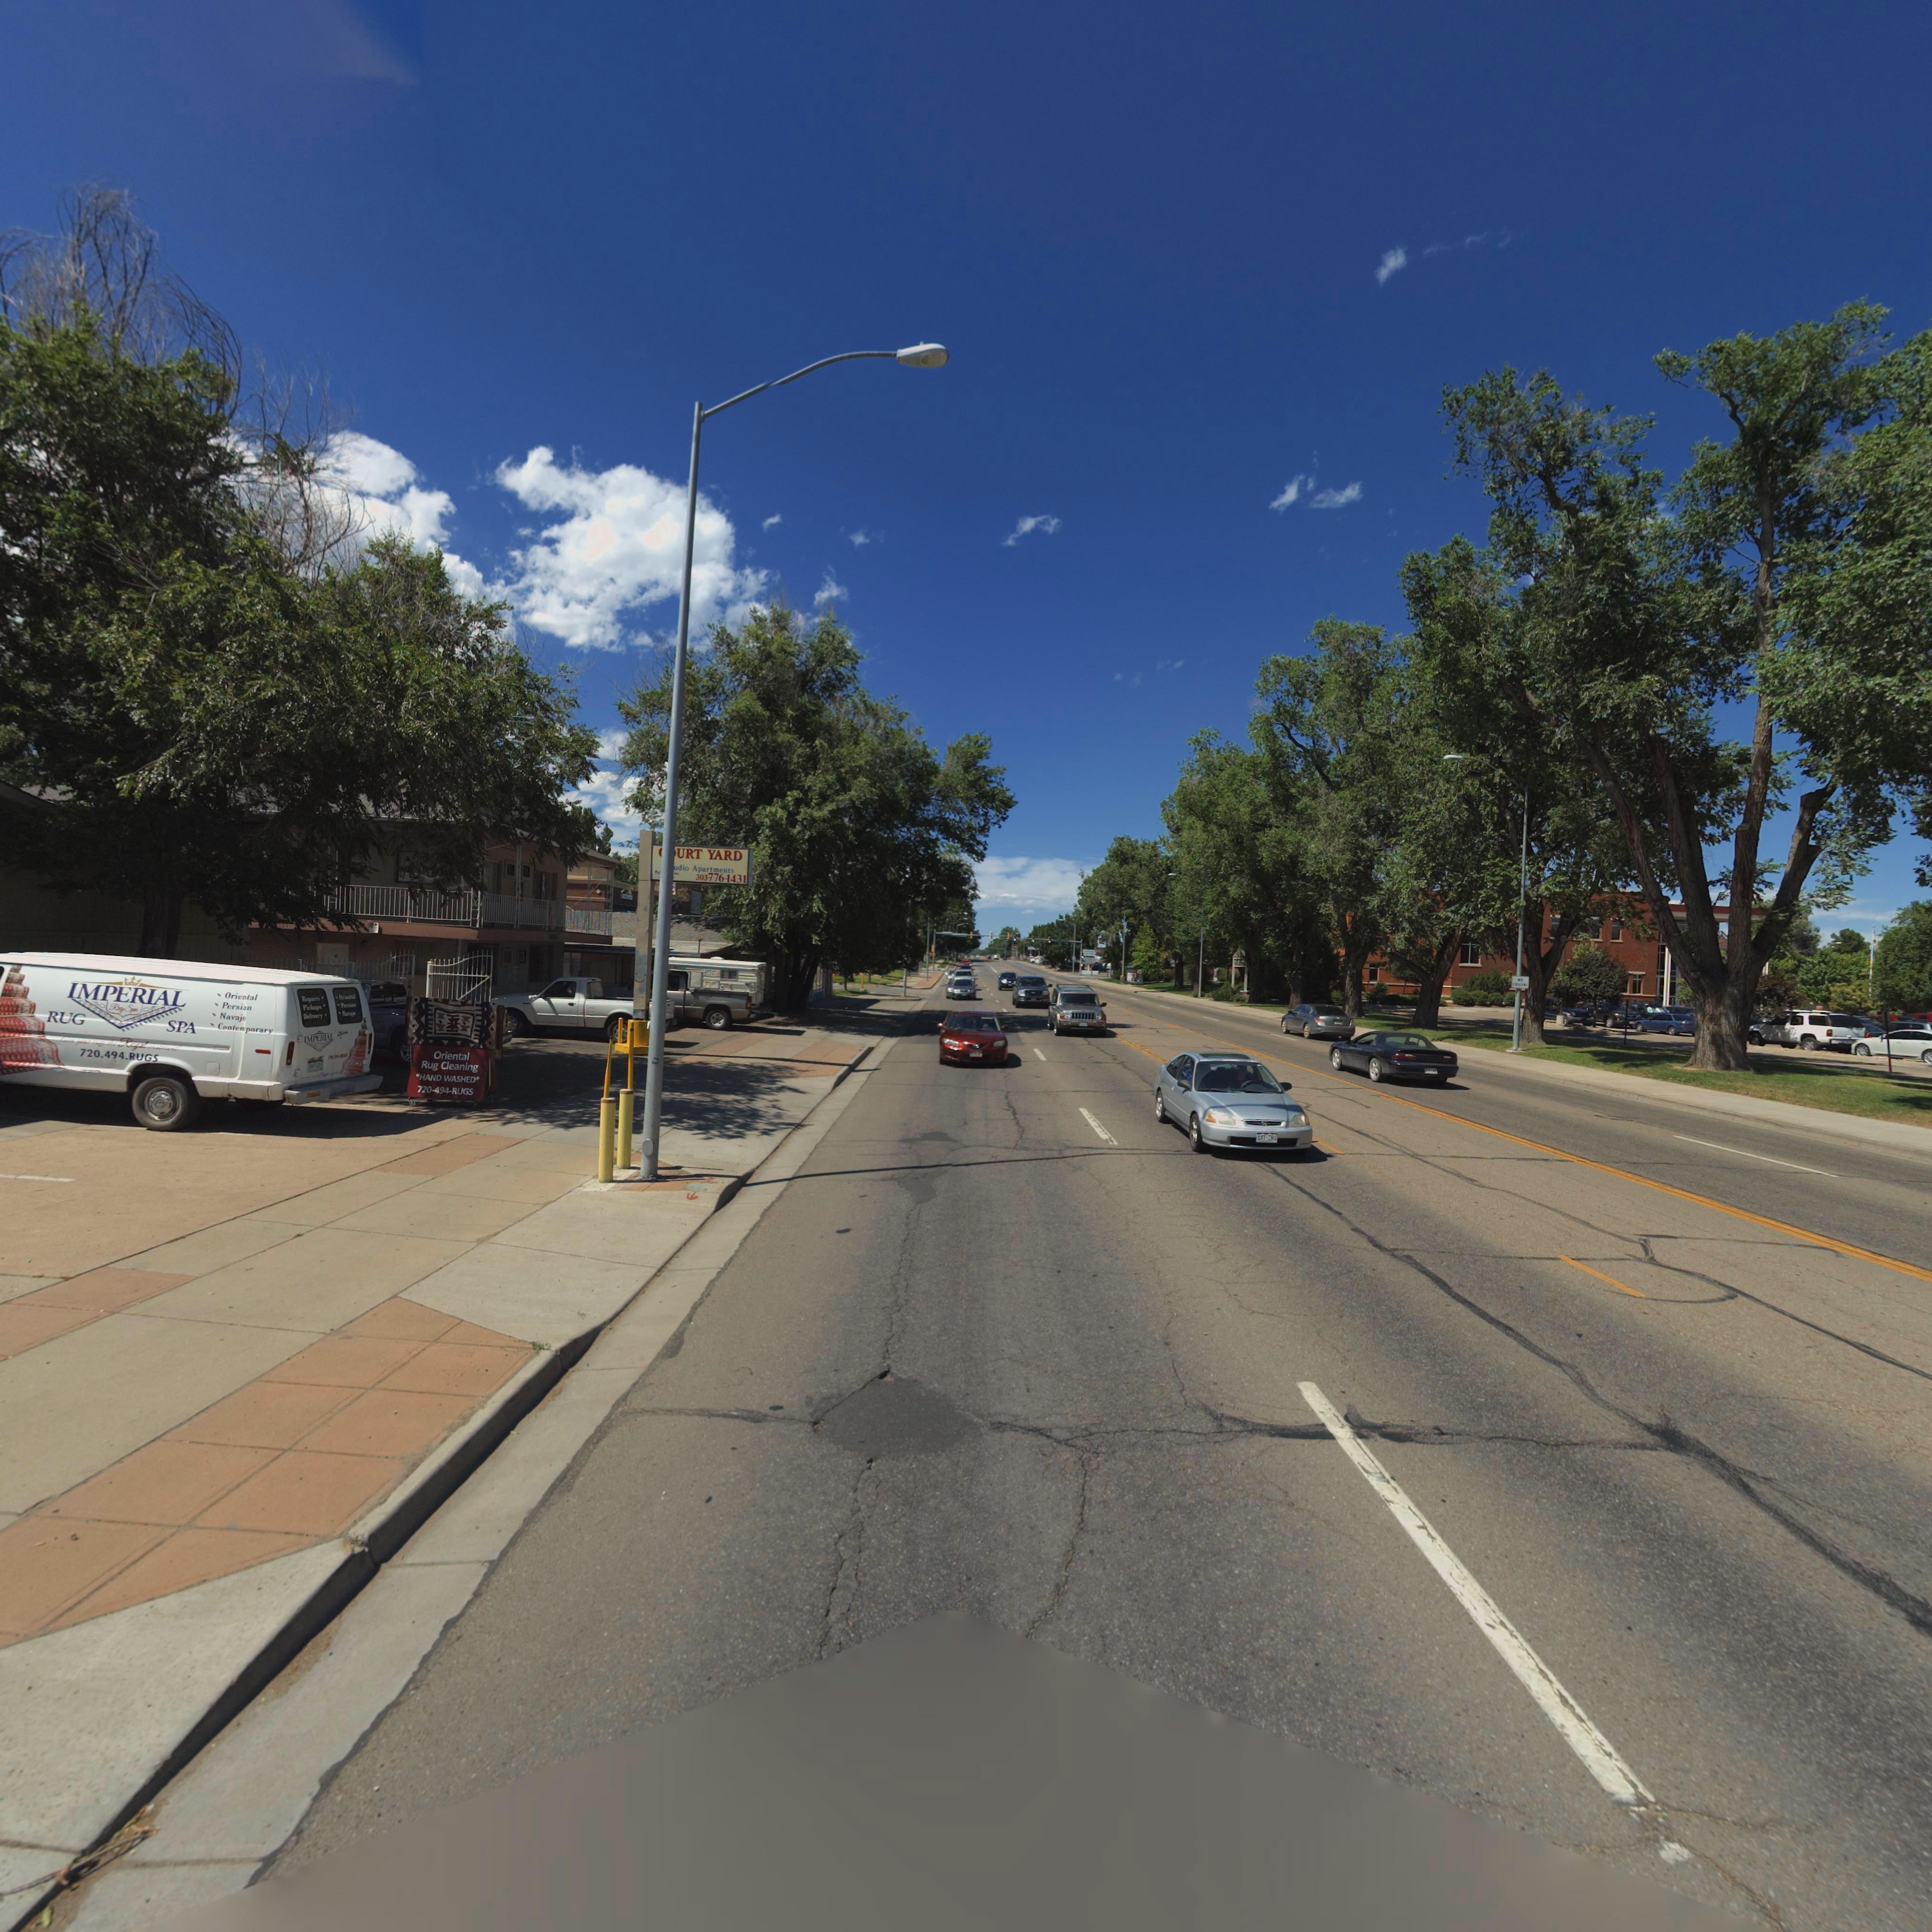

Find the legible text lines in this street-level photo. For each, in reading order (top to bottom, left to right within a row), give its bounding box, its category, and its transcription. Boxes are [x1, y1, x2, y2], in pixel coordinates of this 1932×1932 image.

[658, 846, 743, 861] BusinessName: **URT YARD
[673, 864, 734, 873] BusinessName: udio Apartments
[548, 933, 558, 939] StreetNumber: 101*